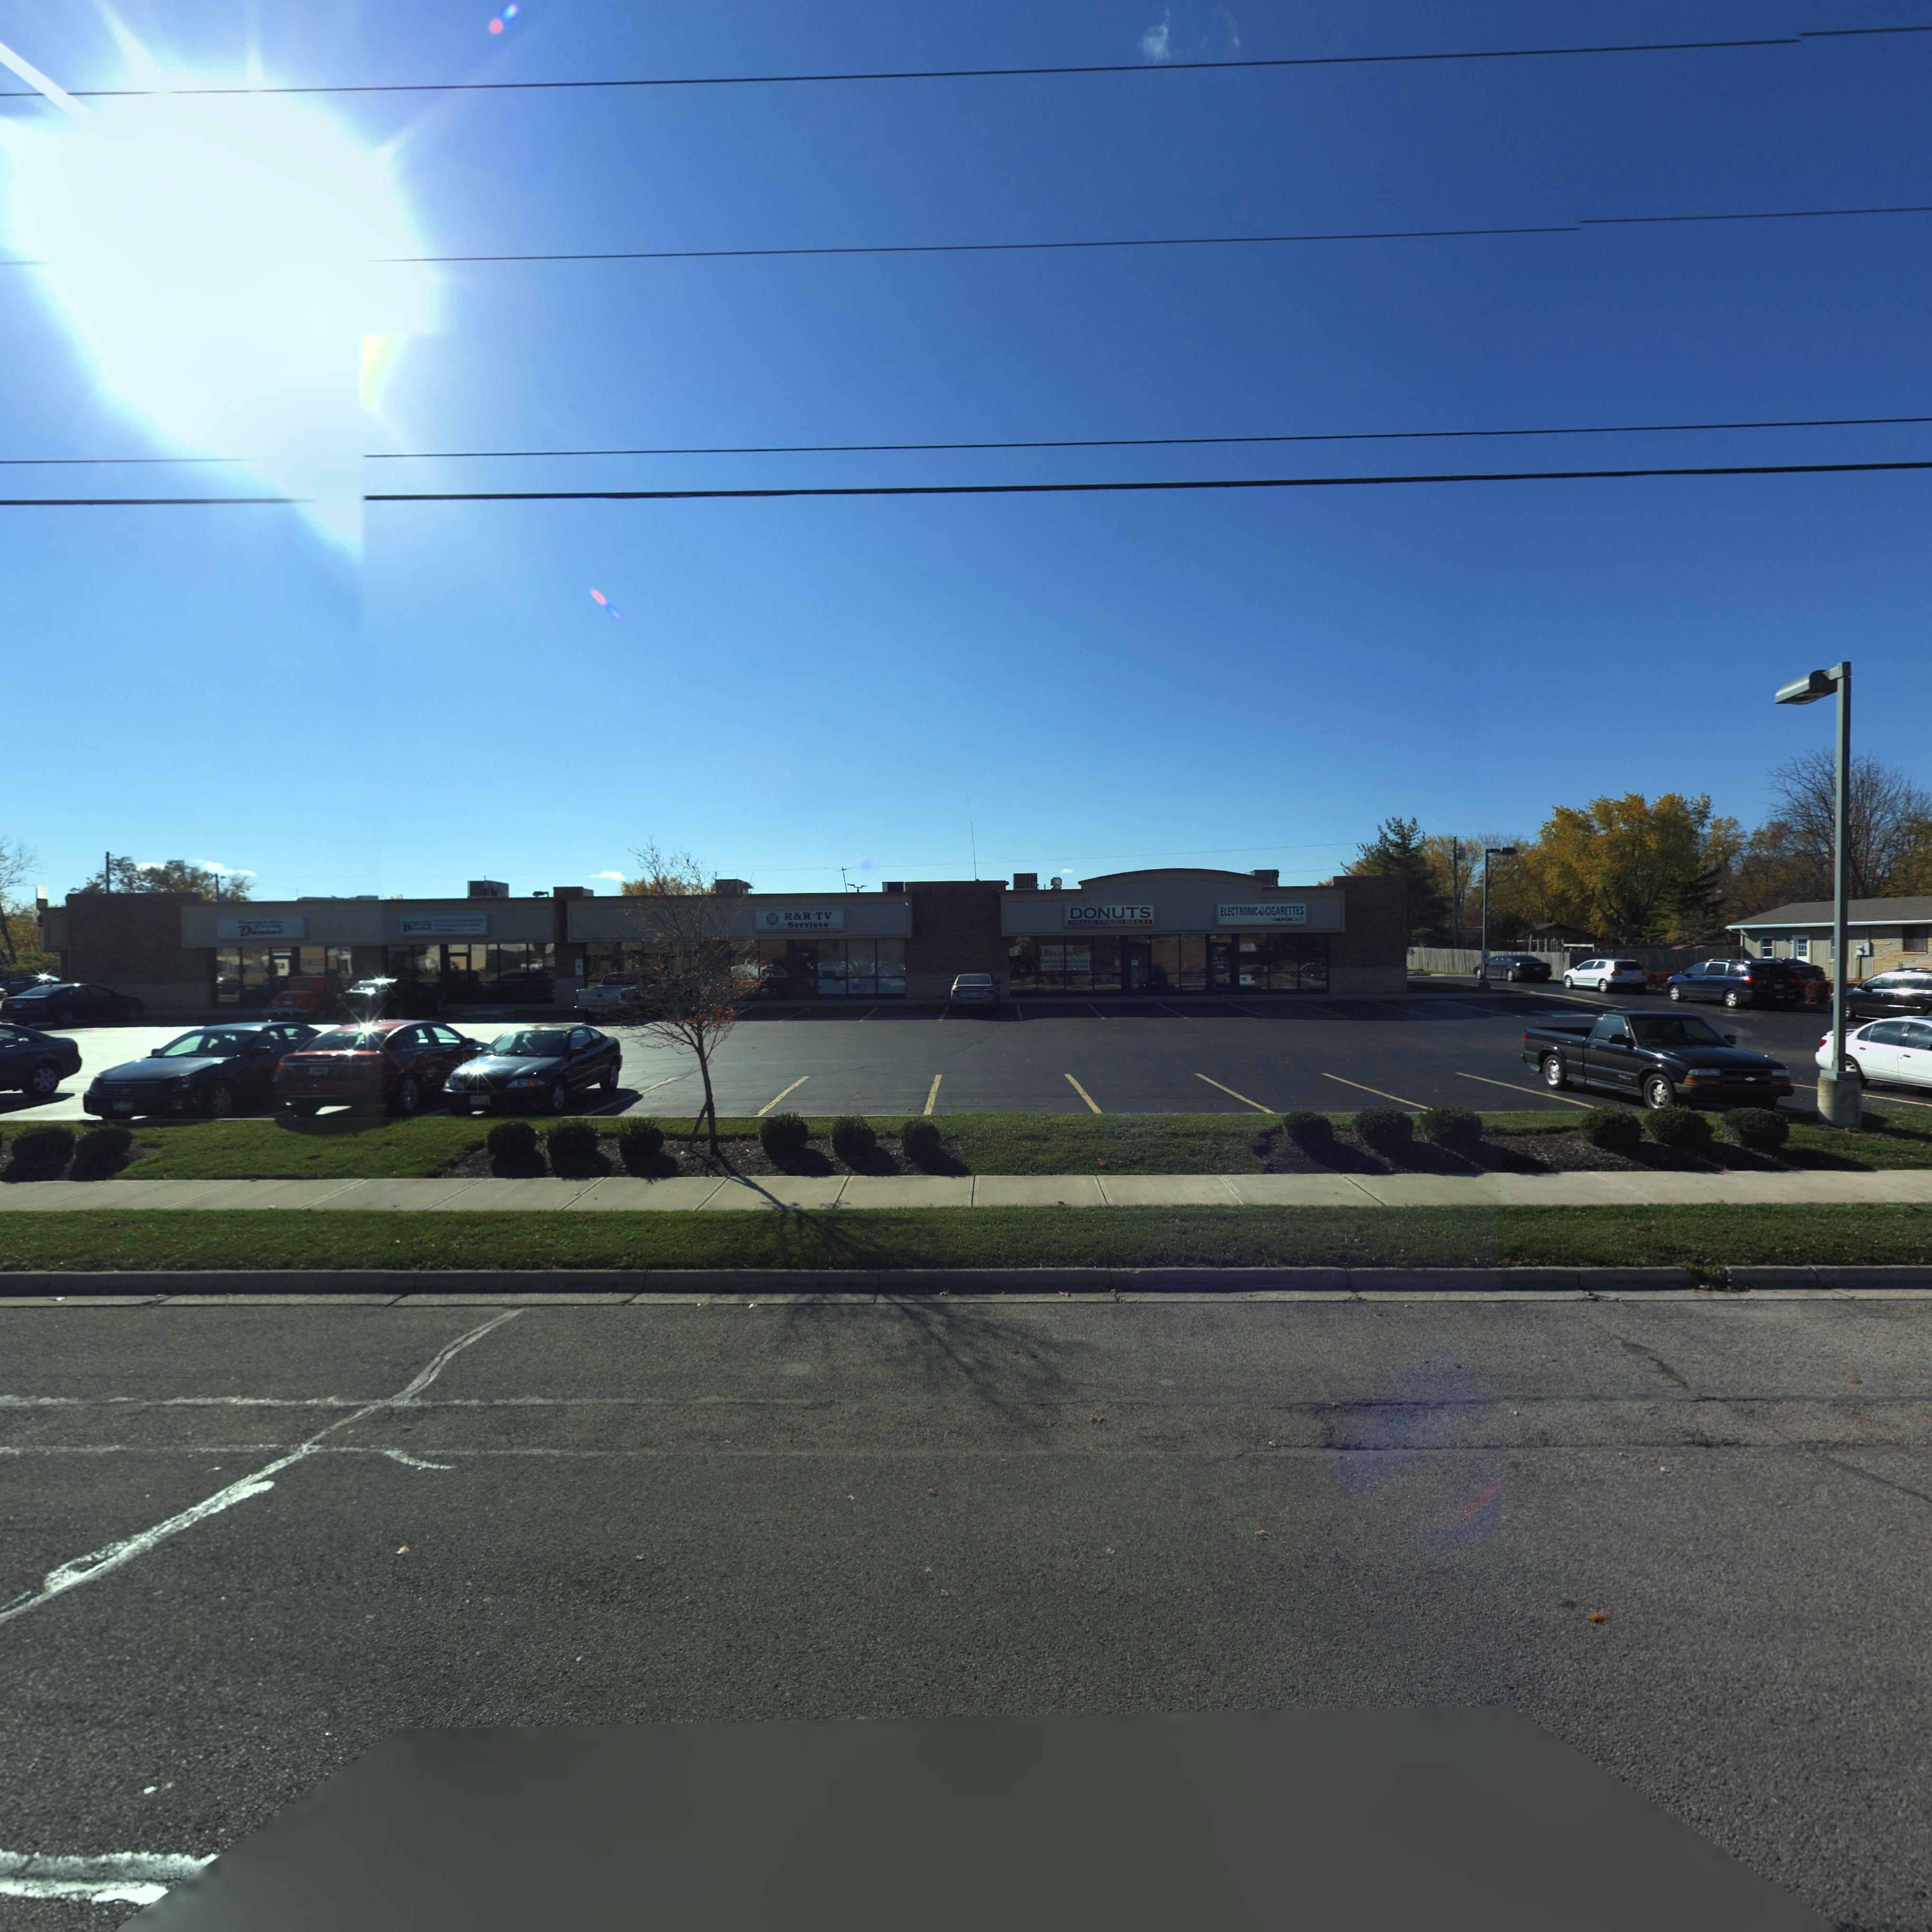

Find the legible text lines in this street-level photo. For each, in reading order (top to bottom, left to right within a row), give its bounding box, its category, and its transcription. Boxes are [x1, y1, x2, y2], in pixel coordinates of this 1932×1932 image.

[783, 911, 833, 921] BusinessName: R&R TV
[1070, 907, 1151, 919] BusinessName: DONUTS
[1220, 906, 1304, 917] BusinessName: ELECTRONIC*CIGARETTES
[238, 924, 253, 937] BusinessName: D
[401, 923, 413, 933] BusinessName: D
[787, 921, 829, 928] BusinessName: Services
[1217, 947, 1225, 950] StreetNumber: 7**0
[801, 952, 809, 956] StreetNumber: 7**0